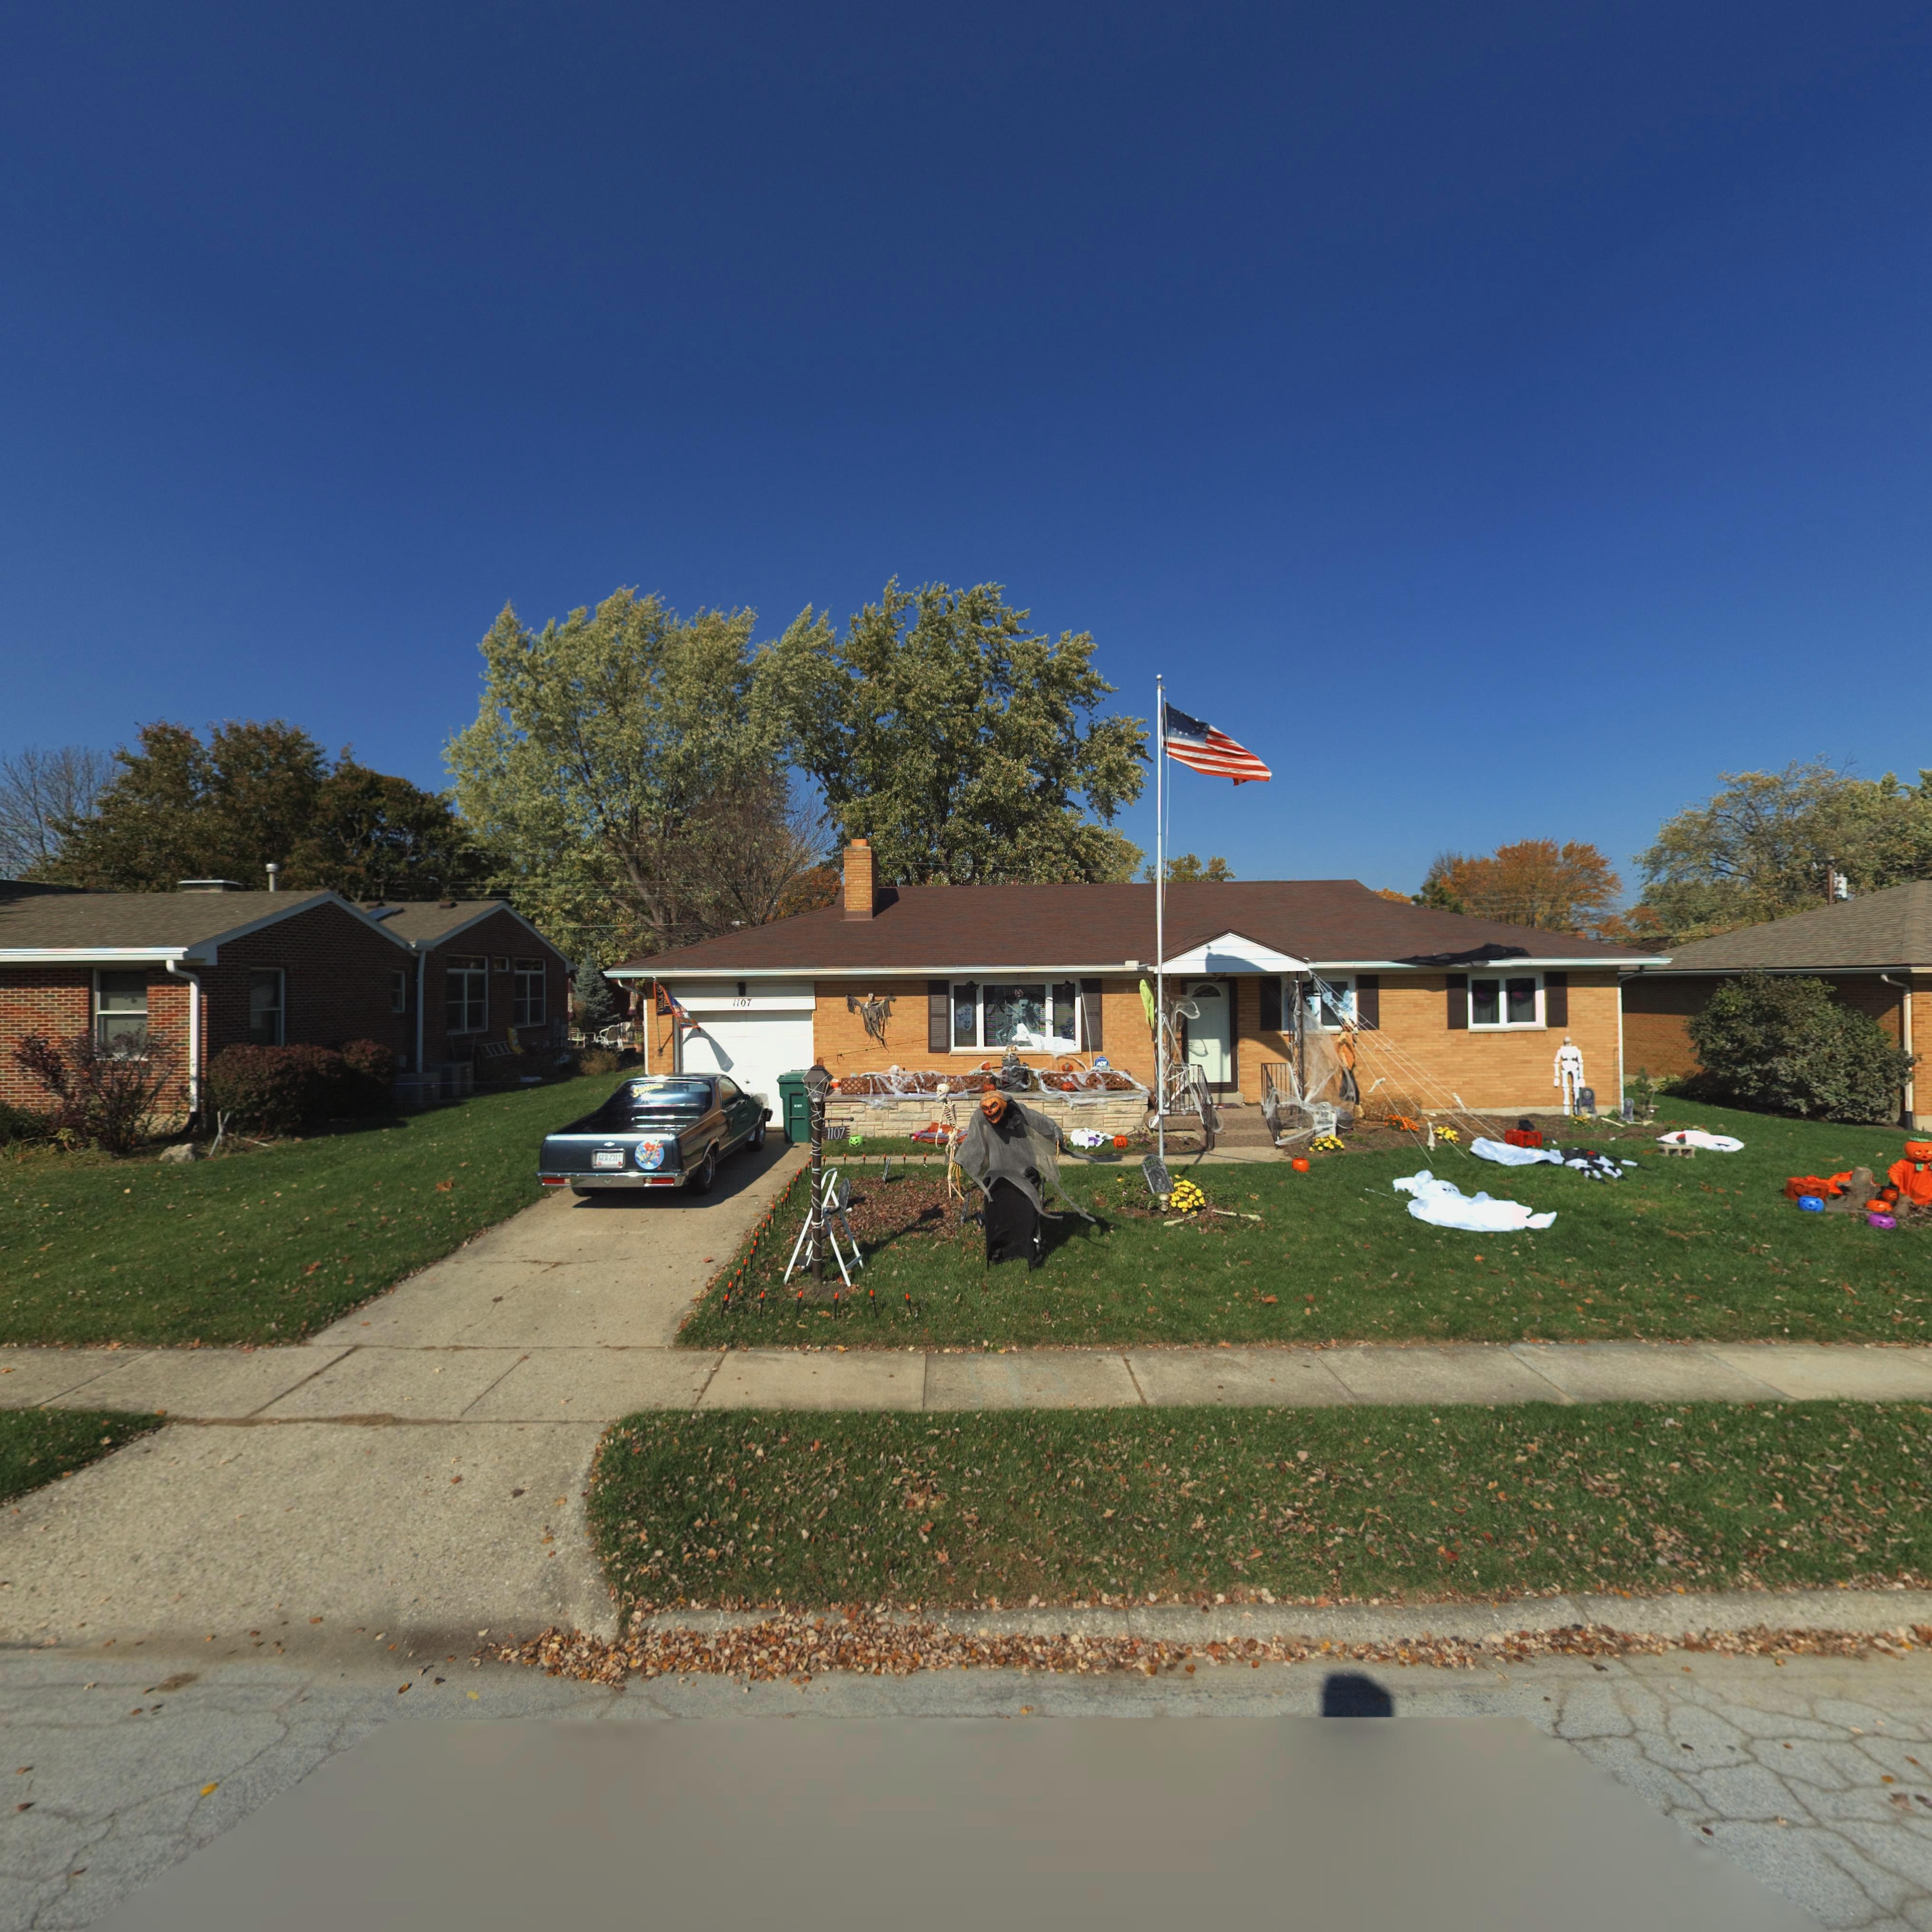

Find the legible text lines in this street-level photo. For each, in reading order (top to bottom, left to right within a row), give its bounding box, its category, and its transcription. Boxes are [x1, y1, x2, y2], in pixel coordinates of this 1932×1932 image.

[732, 998, 752, 1007] StreetNumber: 1107
[1097, 1061, 1107, 1066] None: ADT
[1321, 1111, 1329, 1118] None: R.I.P.
[827, 1126, 846, 1140] StreetNumber: 1107
[598, 1154, 621, 1161] None: GEO2311
[1144, 1157, 1158, 1168] None: RIP